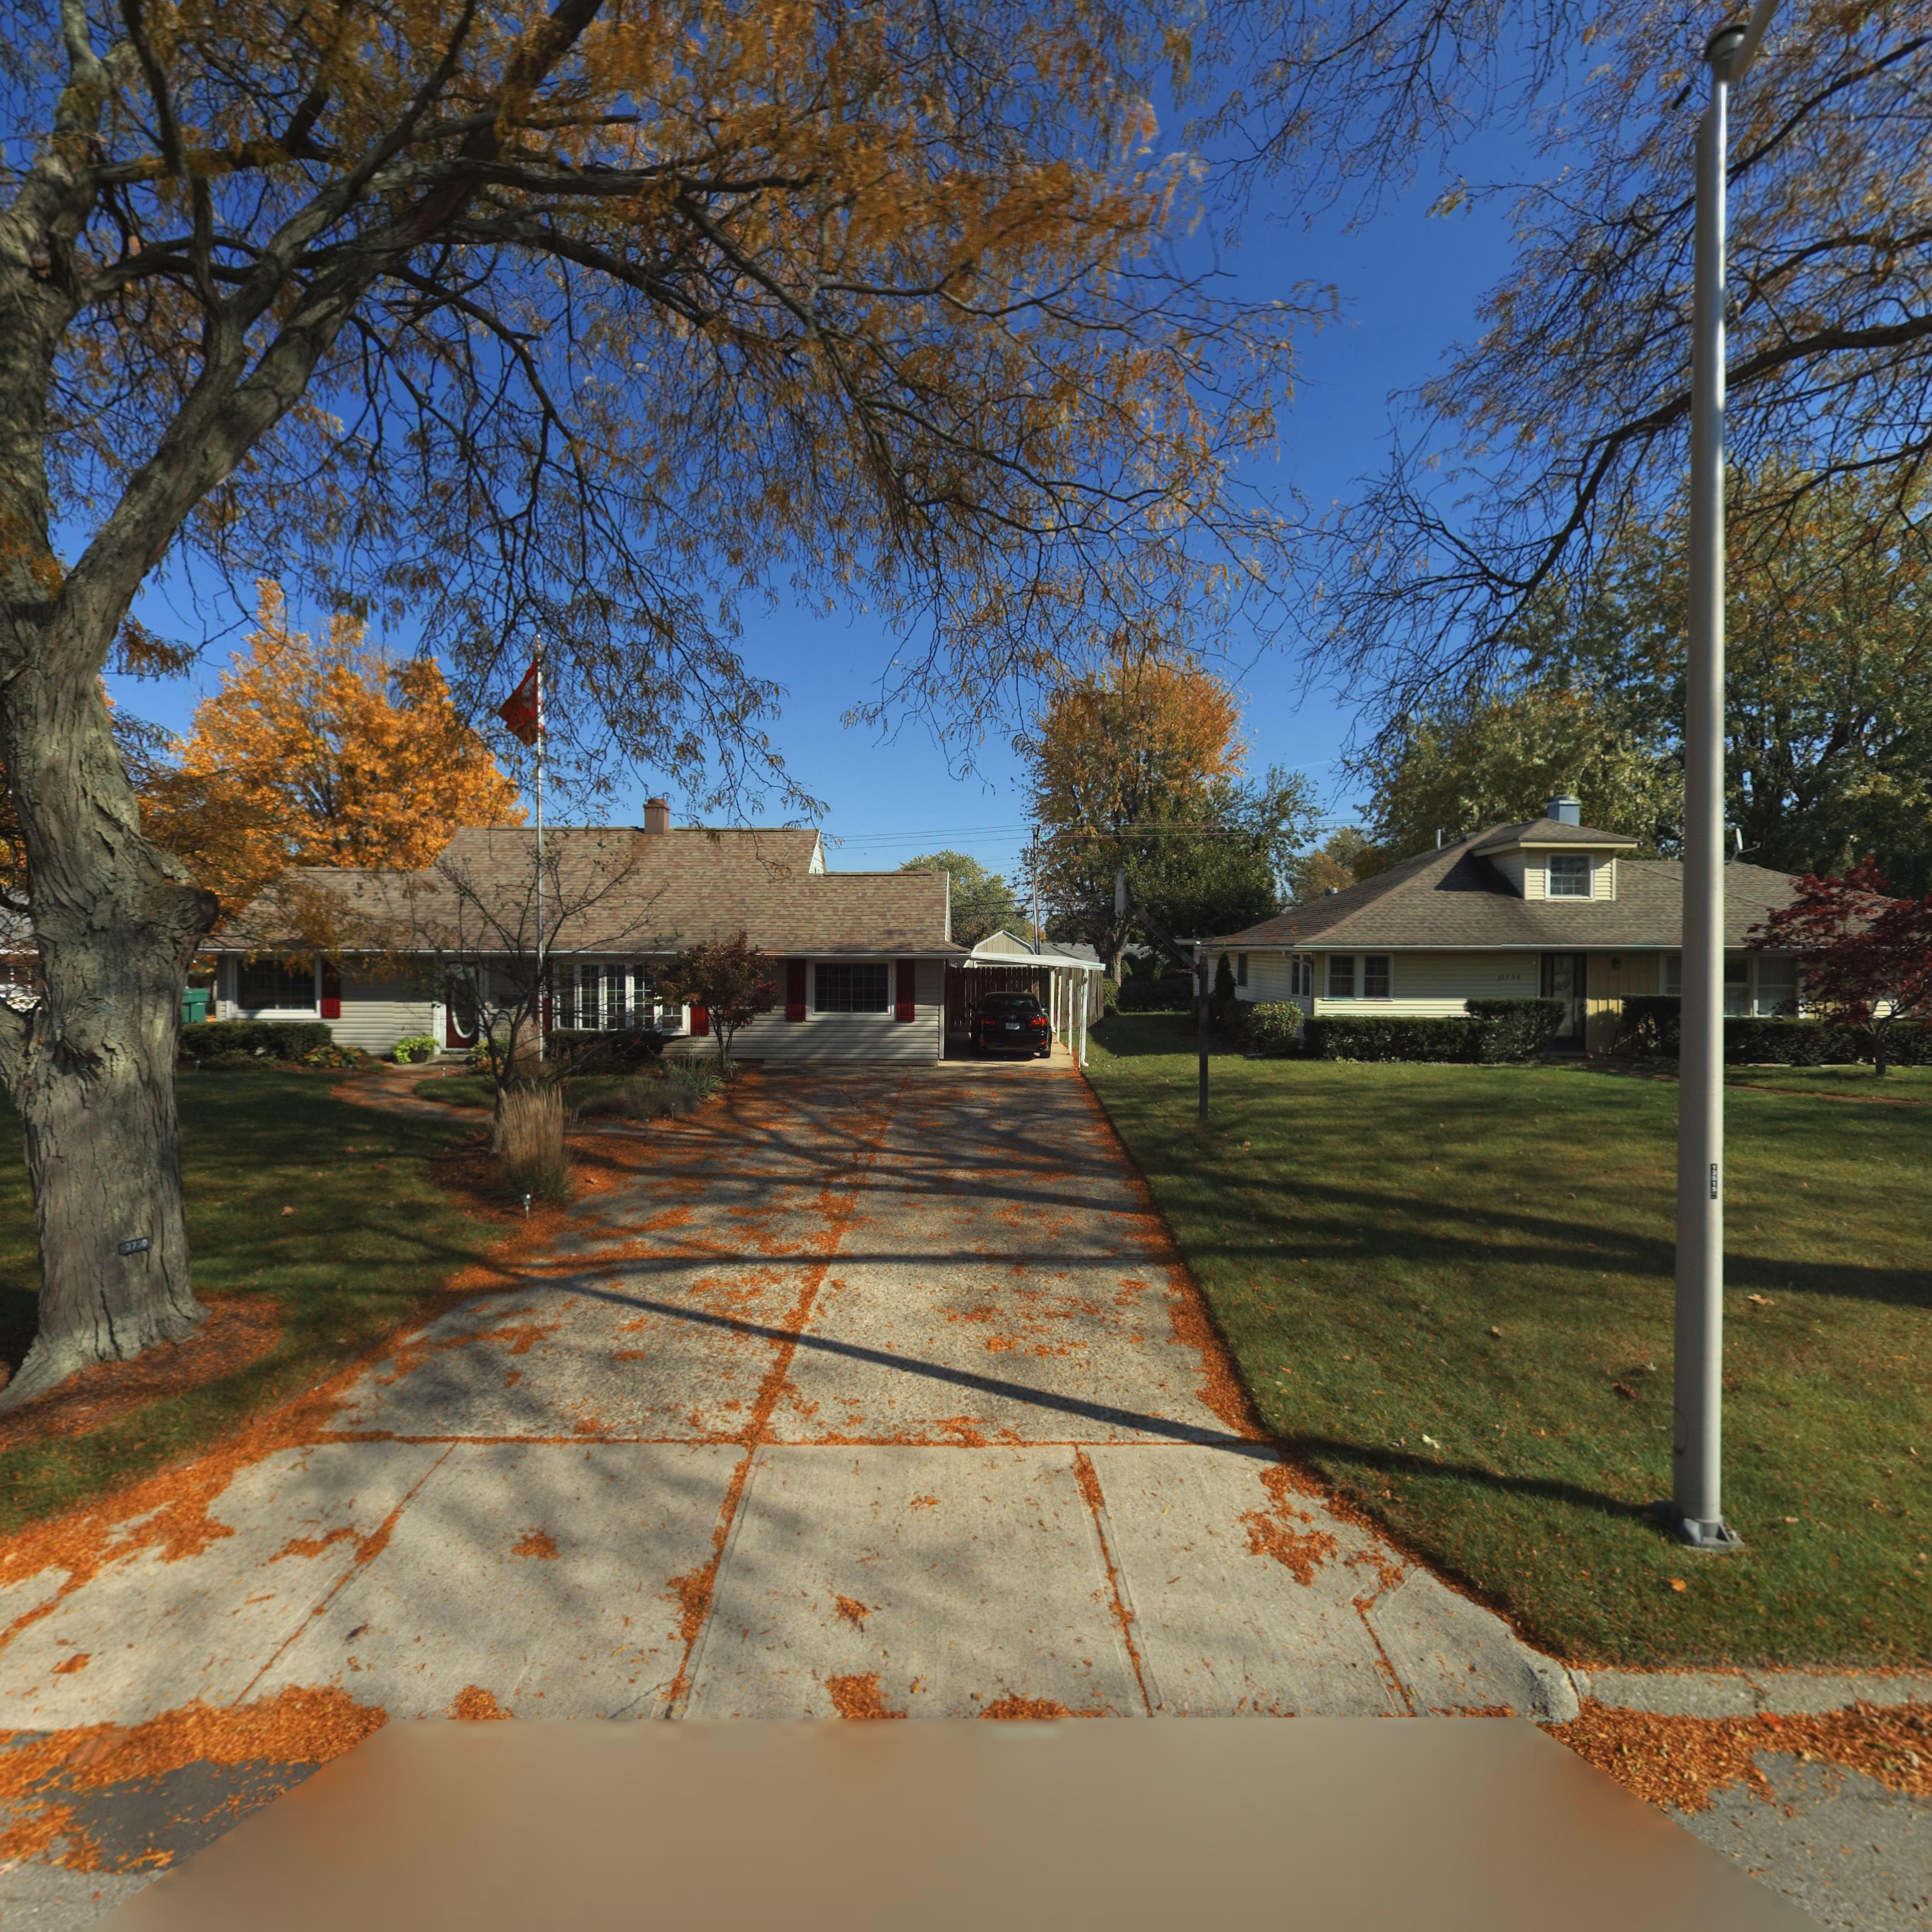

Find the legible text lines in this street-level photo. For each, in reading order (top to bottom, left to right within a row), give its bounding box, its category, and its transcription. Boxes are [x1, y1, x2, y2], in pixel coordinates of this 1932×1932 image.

[1710, 1163, 1717, 1187] None: 135*
[125, 1236, 148, 1253] StreetNumber: 3730